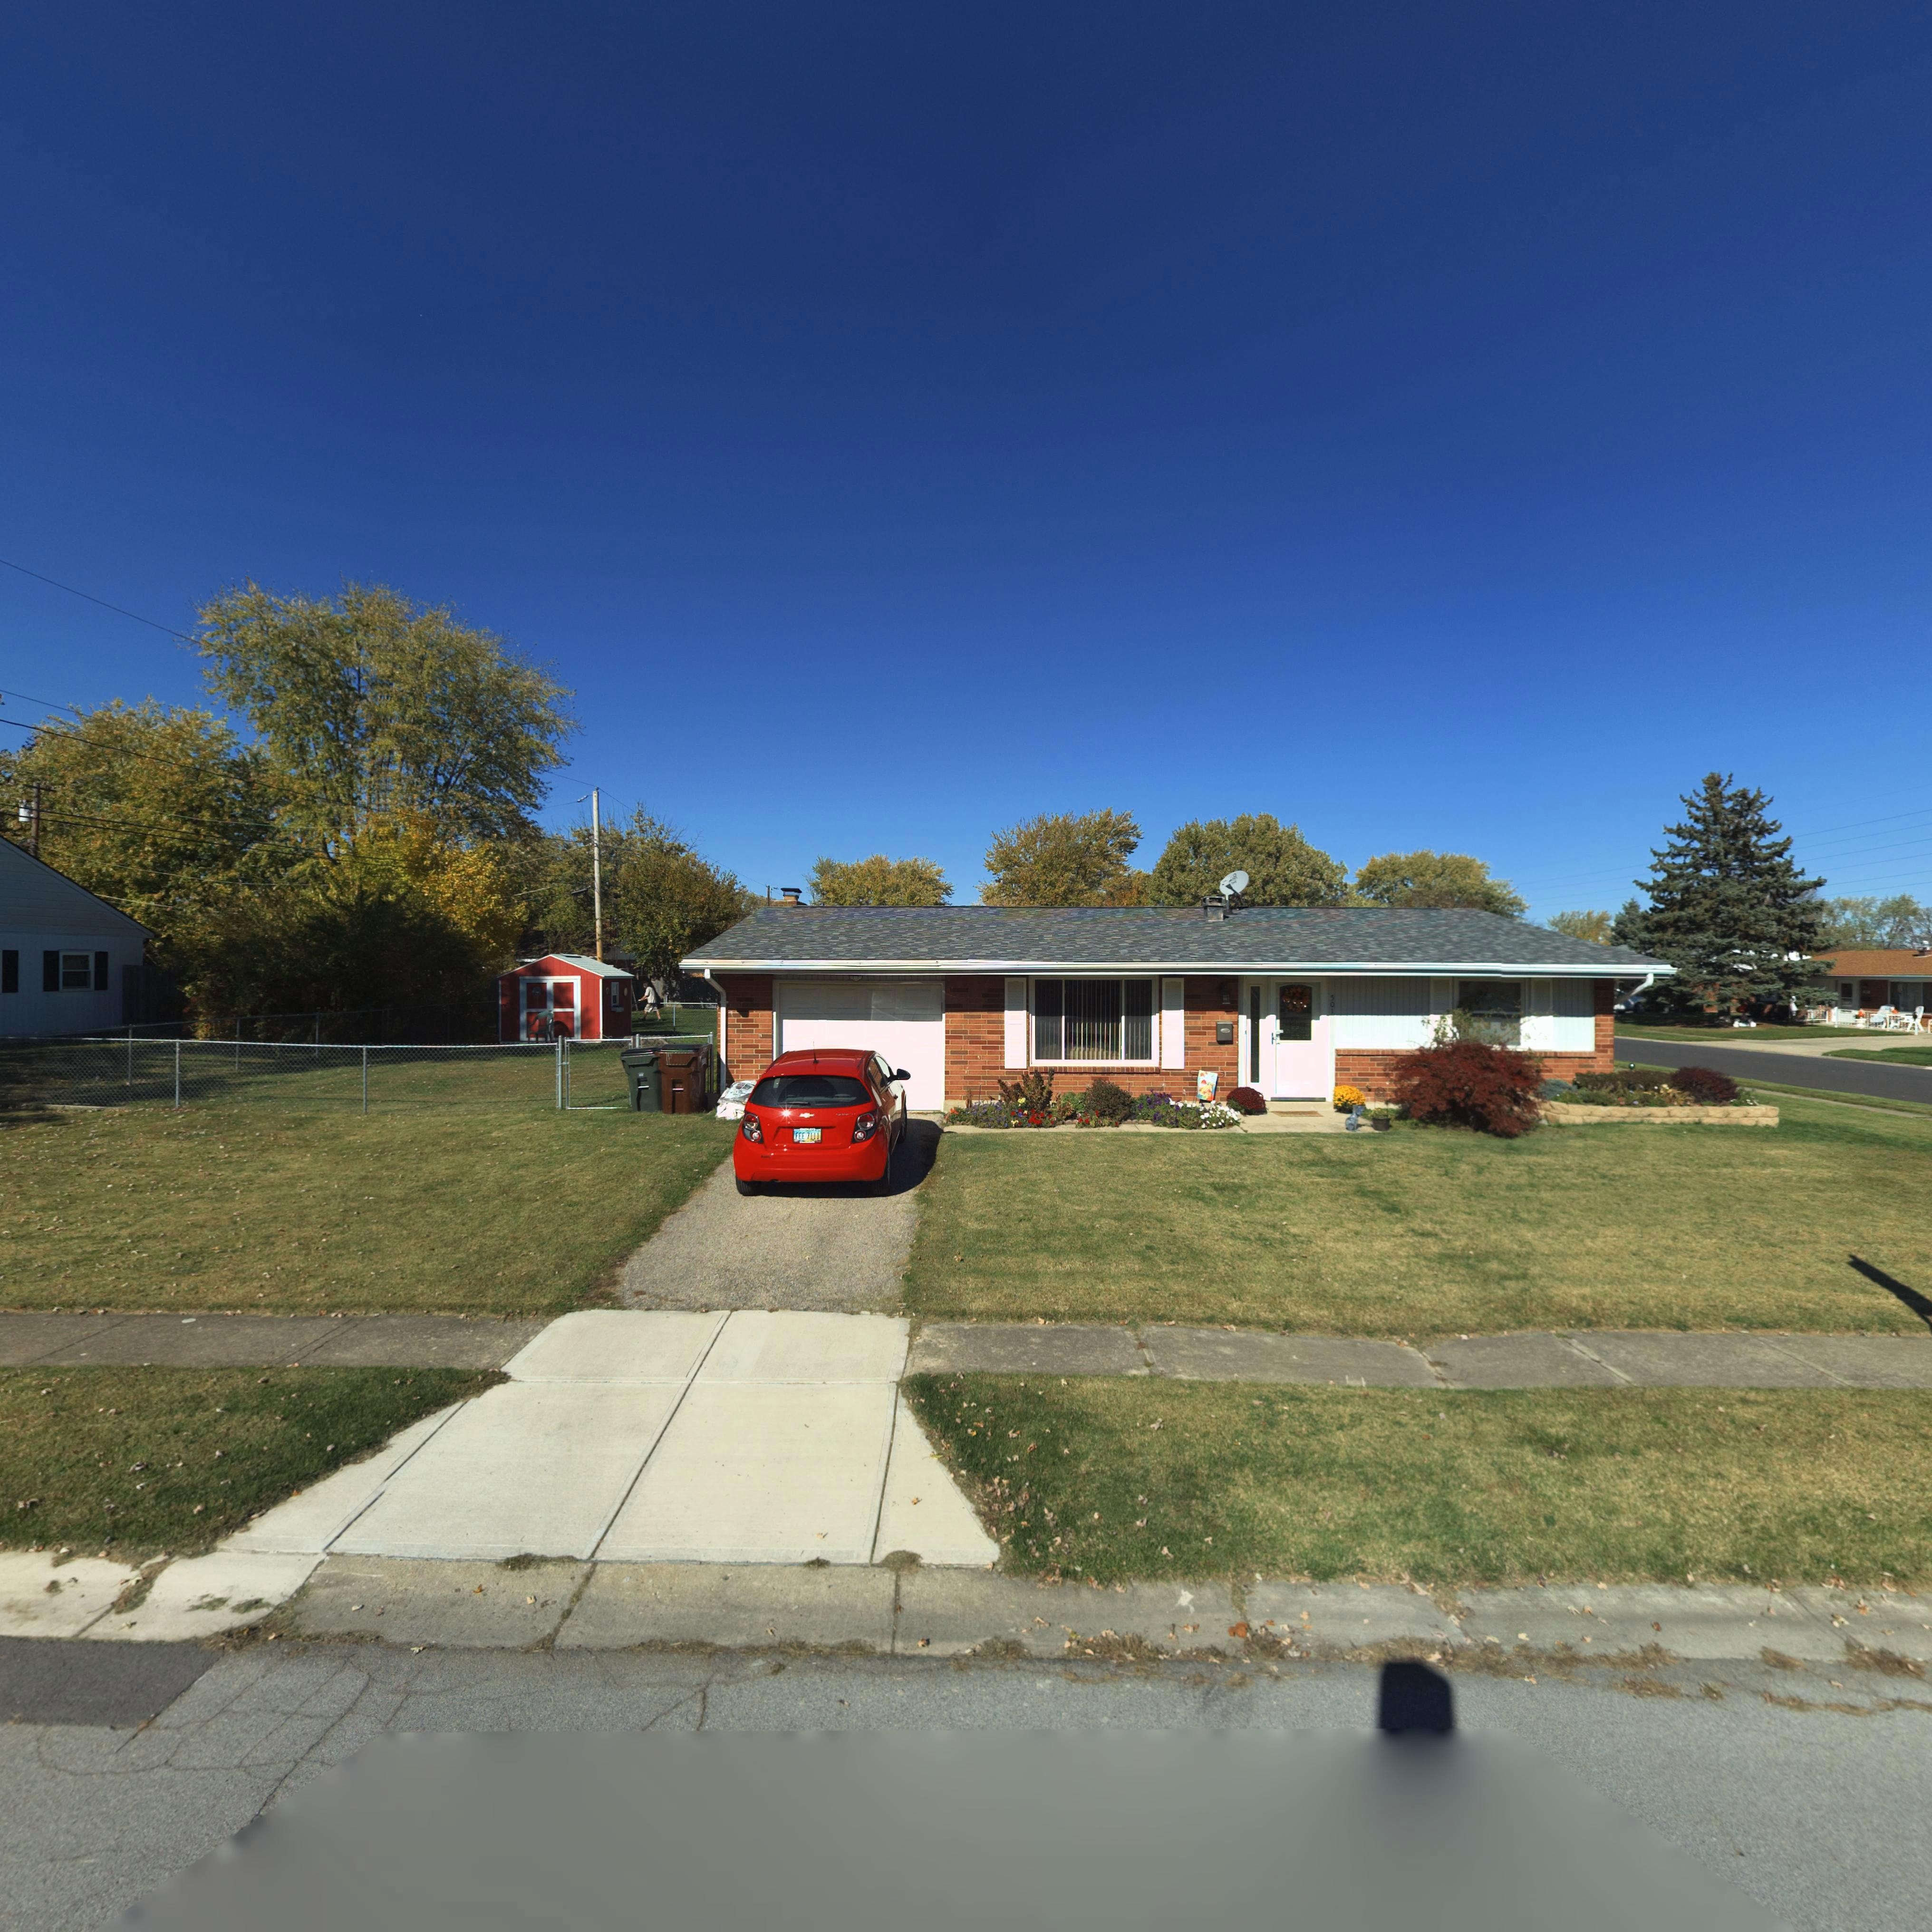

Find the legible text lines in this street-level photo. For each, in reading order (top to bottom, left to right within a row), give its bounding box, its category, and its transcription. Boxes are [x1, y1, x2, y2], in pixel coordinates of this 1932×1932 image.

[1330, 994, 1335, 1014] StreetNumber: 501